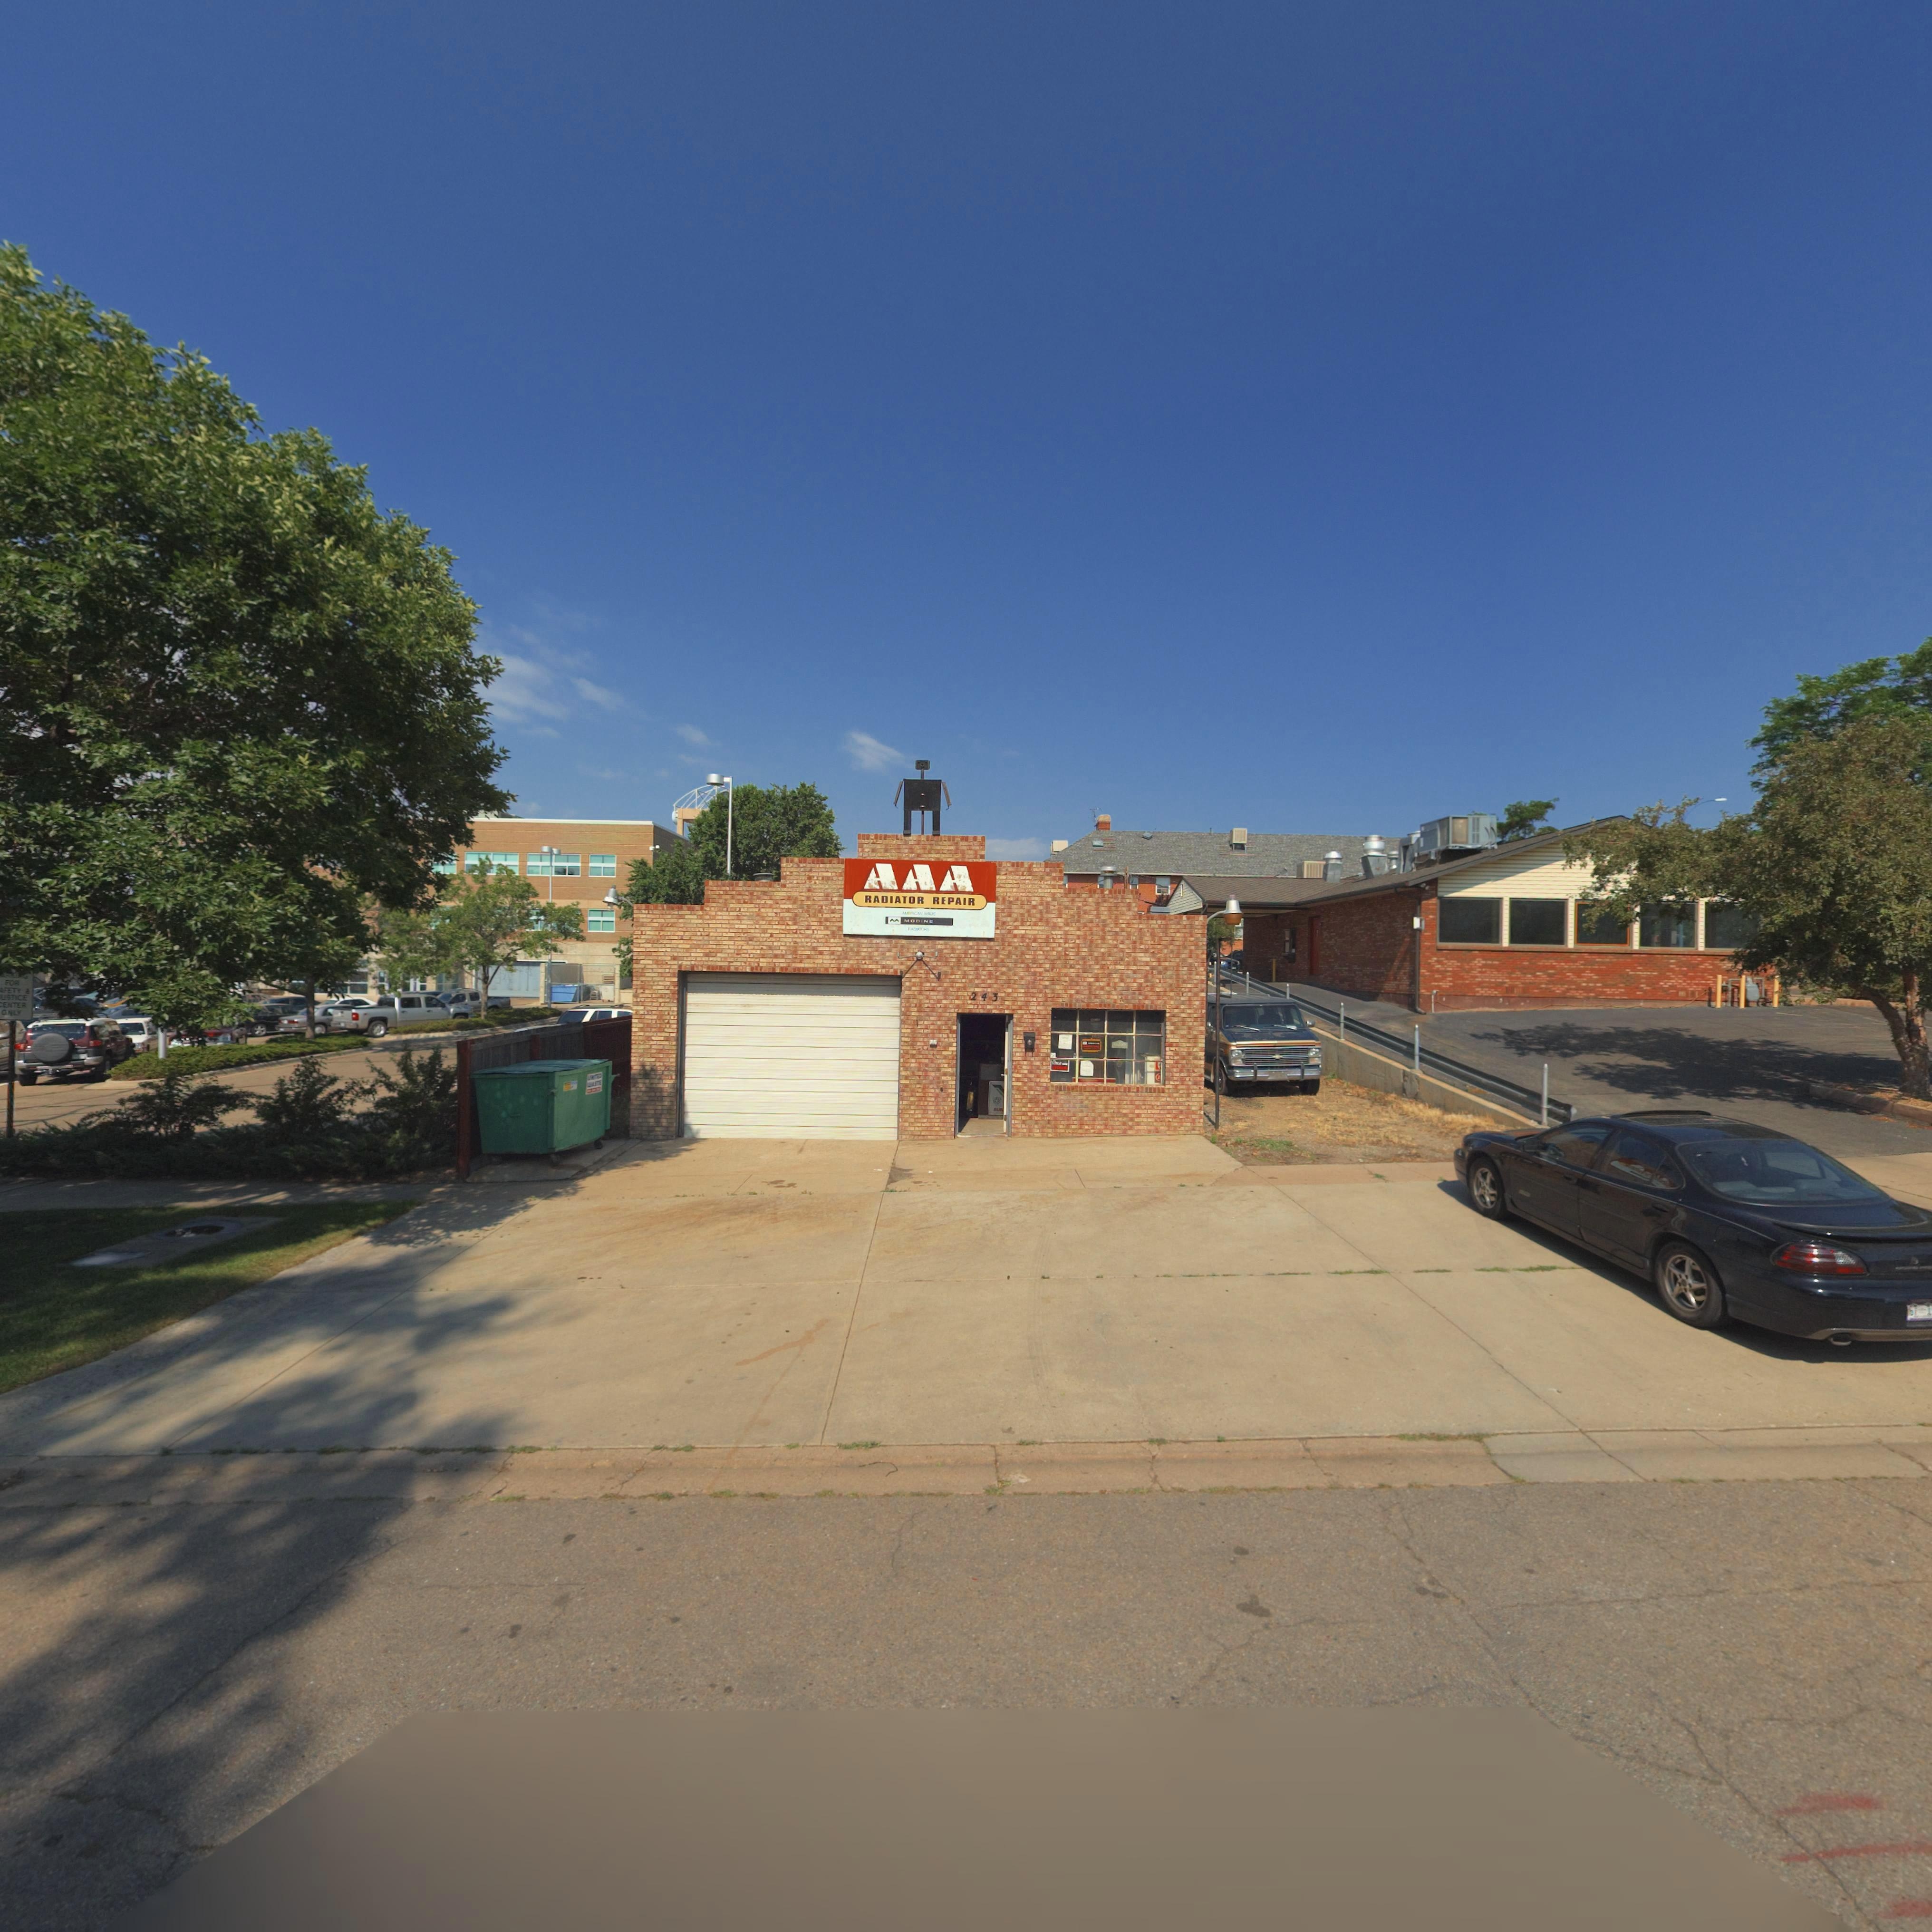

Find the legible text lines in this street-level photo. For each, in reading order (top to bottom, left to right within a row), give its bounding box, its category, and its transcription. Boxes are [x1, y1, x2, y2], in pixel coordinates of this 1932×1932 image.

[863, 862, 974, 892] BusinessName: AAA
[865, 895, 975, 905] BusinessName: RADIATOR REPAIR
[970, 991, 998, 1002] StreetNumber: 243